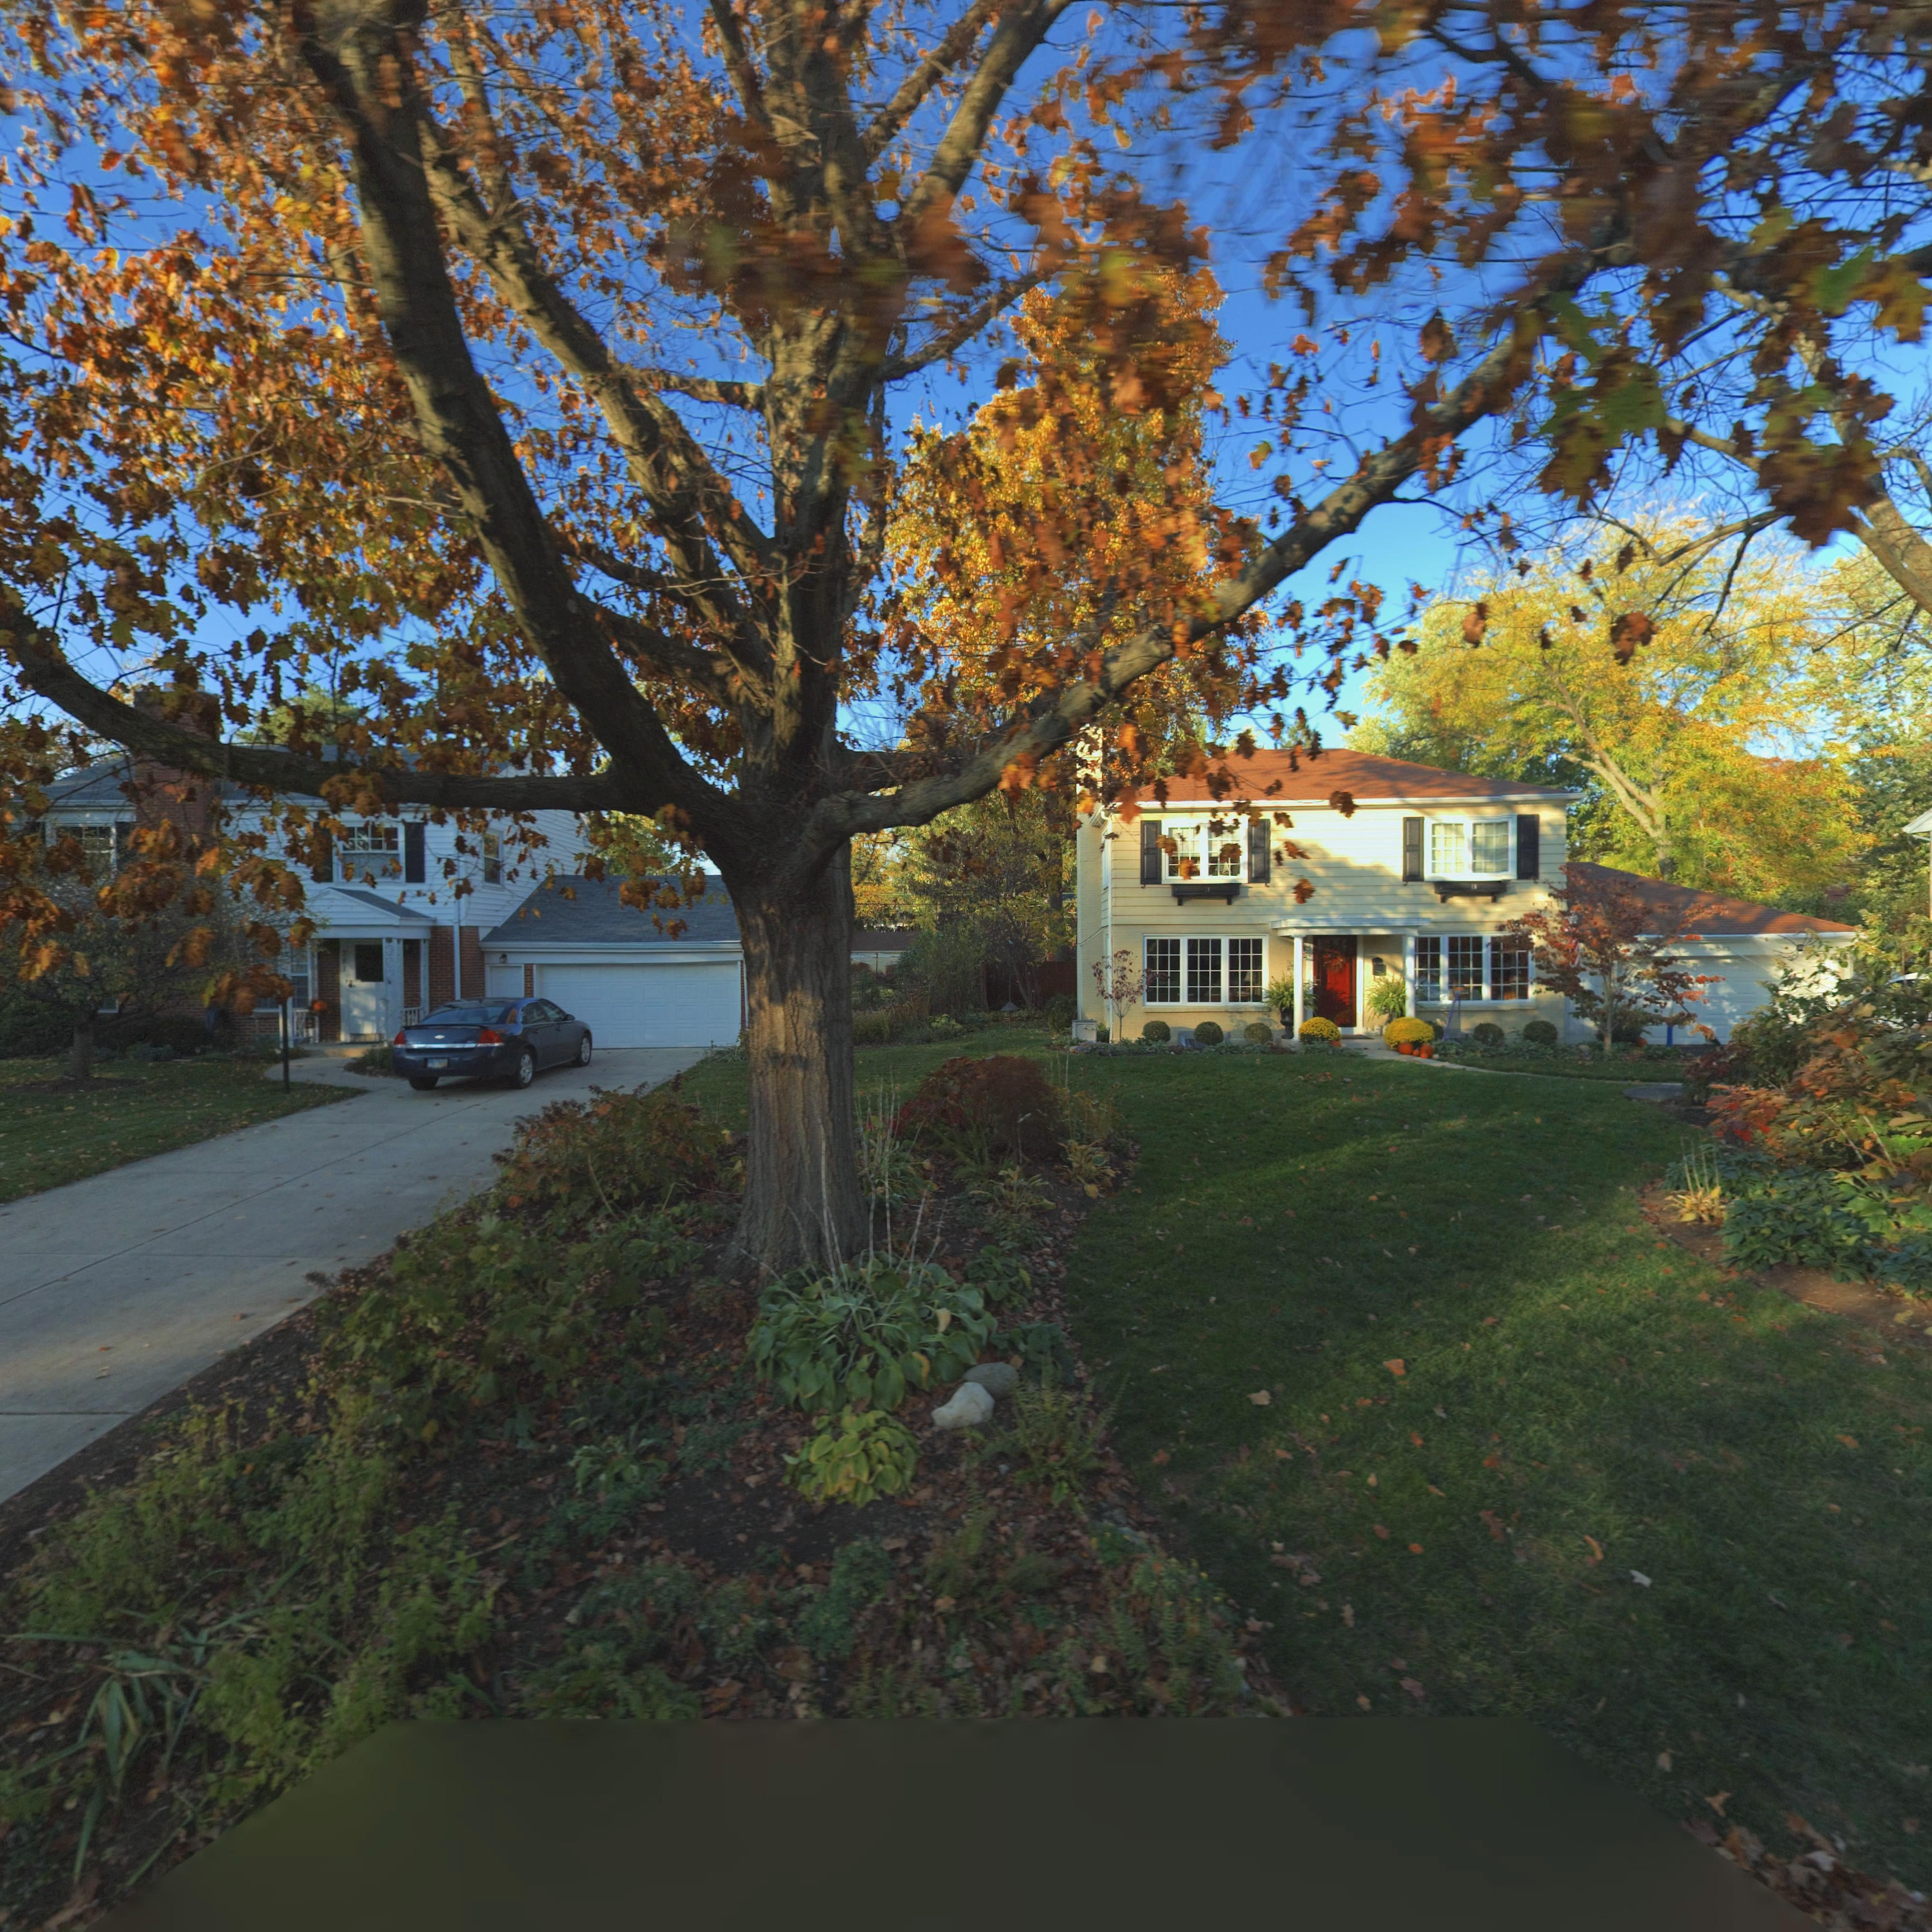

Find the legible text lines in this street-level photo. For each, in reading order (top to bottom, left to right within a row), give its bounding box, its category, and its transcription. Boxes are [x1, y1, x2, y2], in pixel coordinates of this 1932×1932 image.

[341, 949, 348, 973] StreetNumber: *81